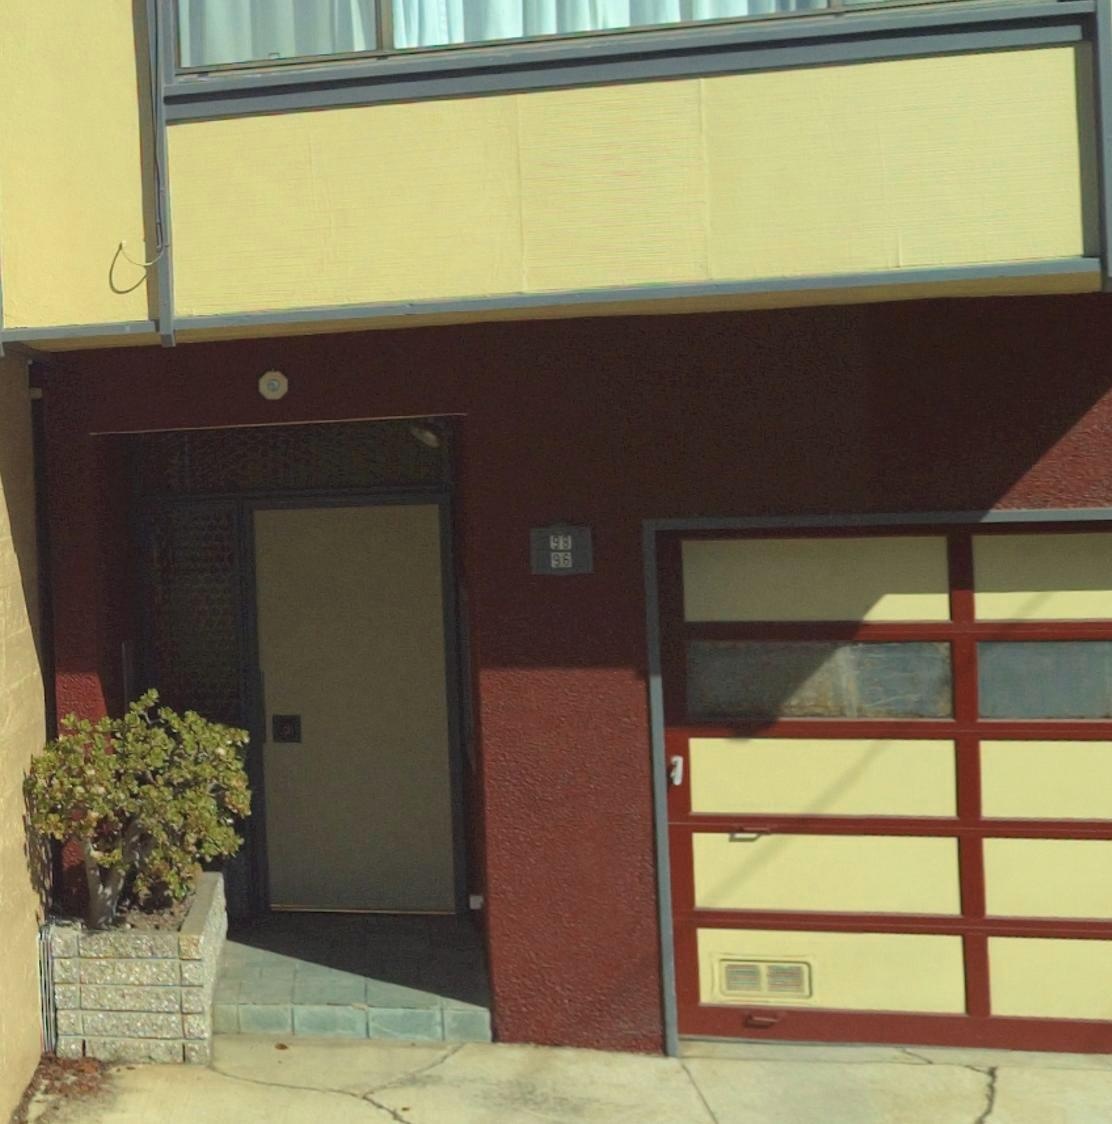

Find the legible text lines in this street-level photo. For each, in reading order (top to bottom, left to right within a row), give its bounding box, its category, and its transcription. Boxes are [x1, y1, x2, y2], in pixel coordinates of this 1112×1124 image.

[549, 534, 573, 550] StreetNumber: 98
[549, 551, 573, 569] StreetNumber: 96